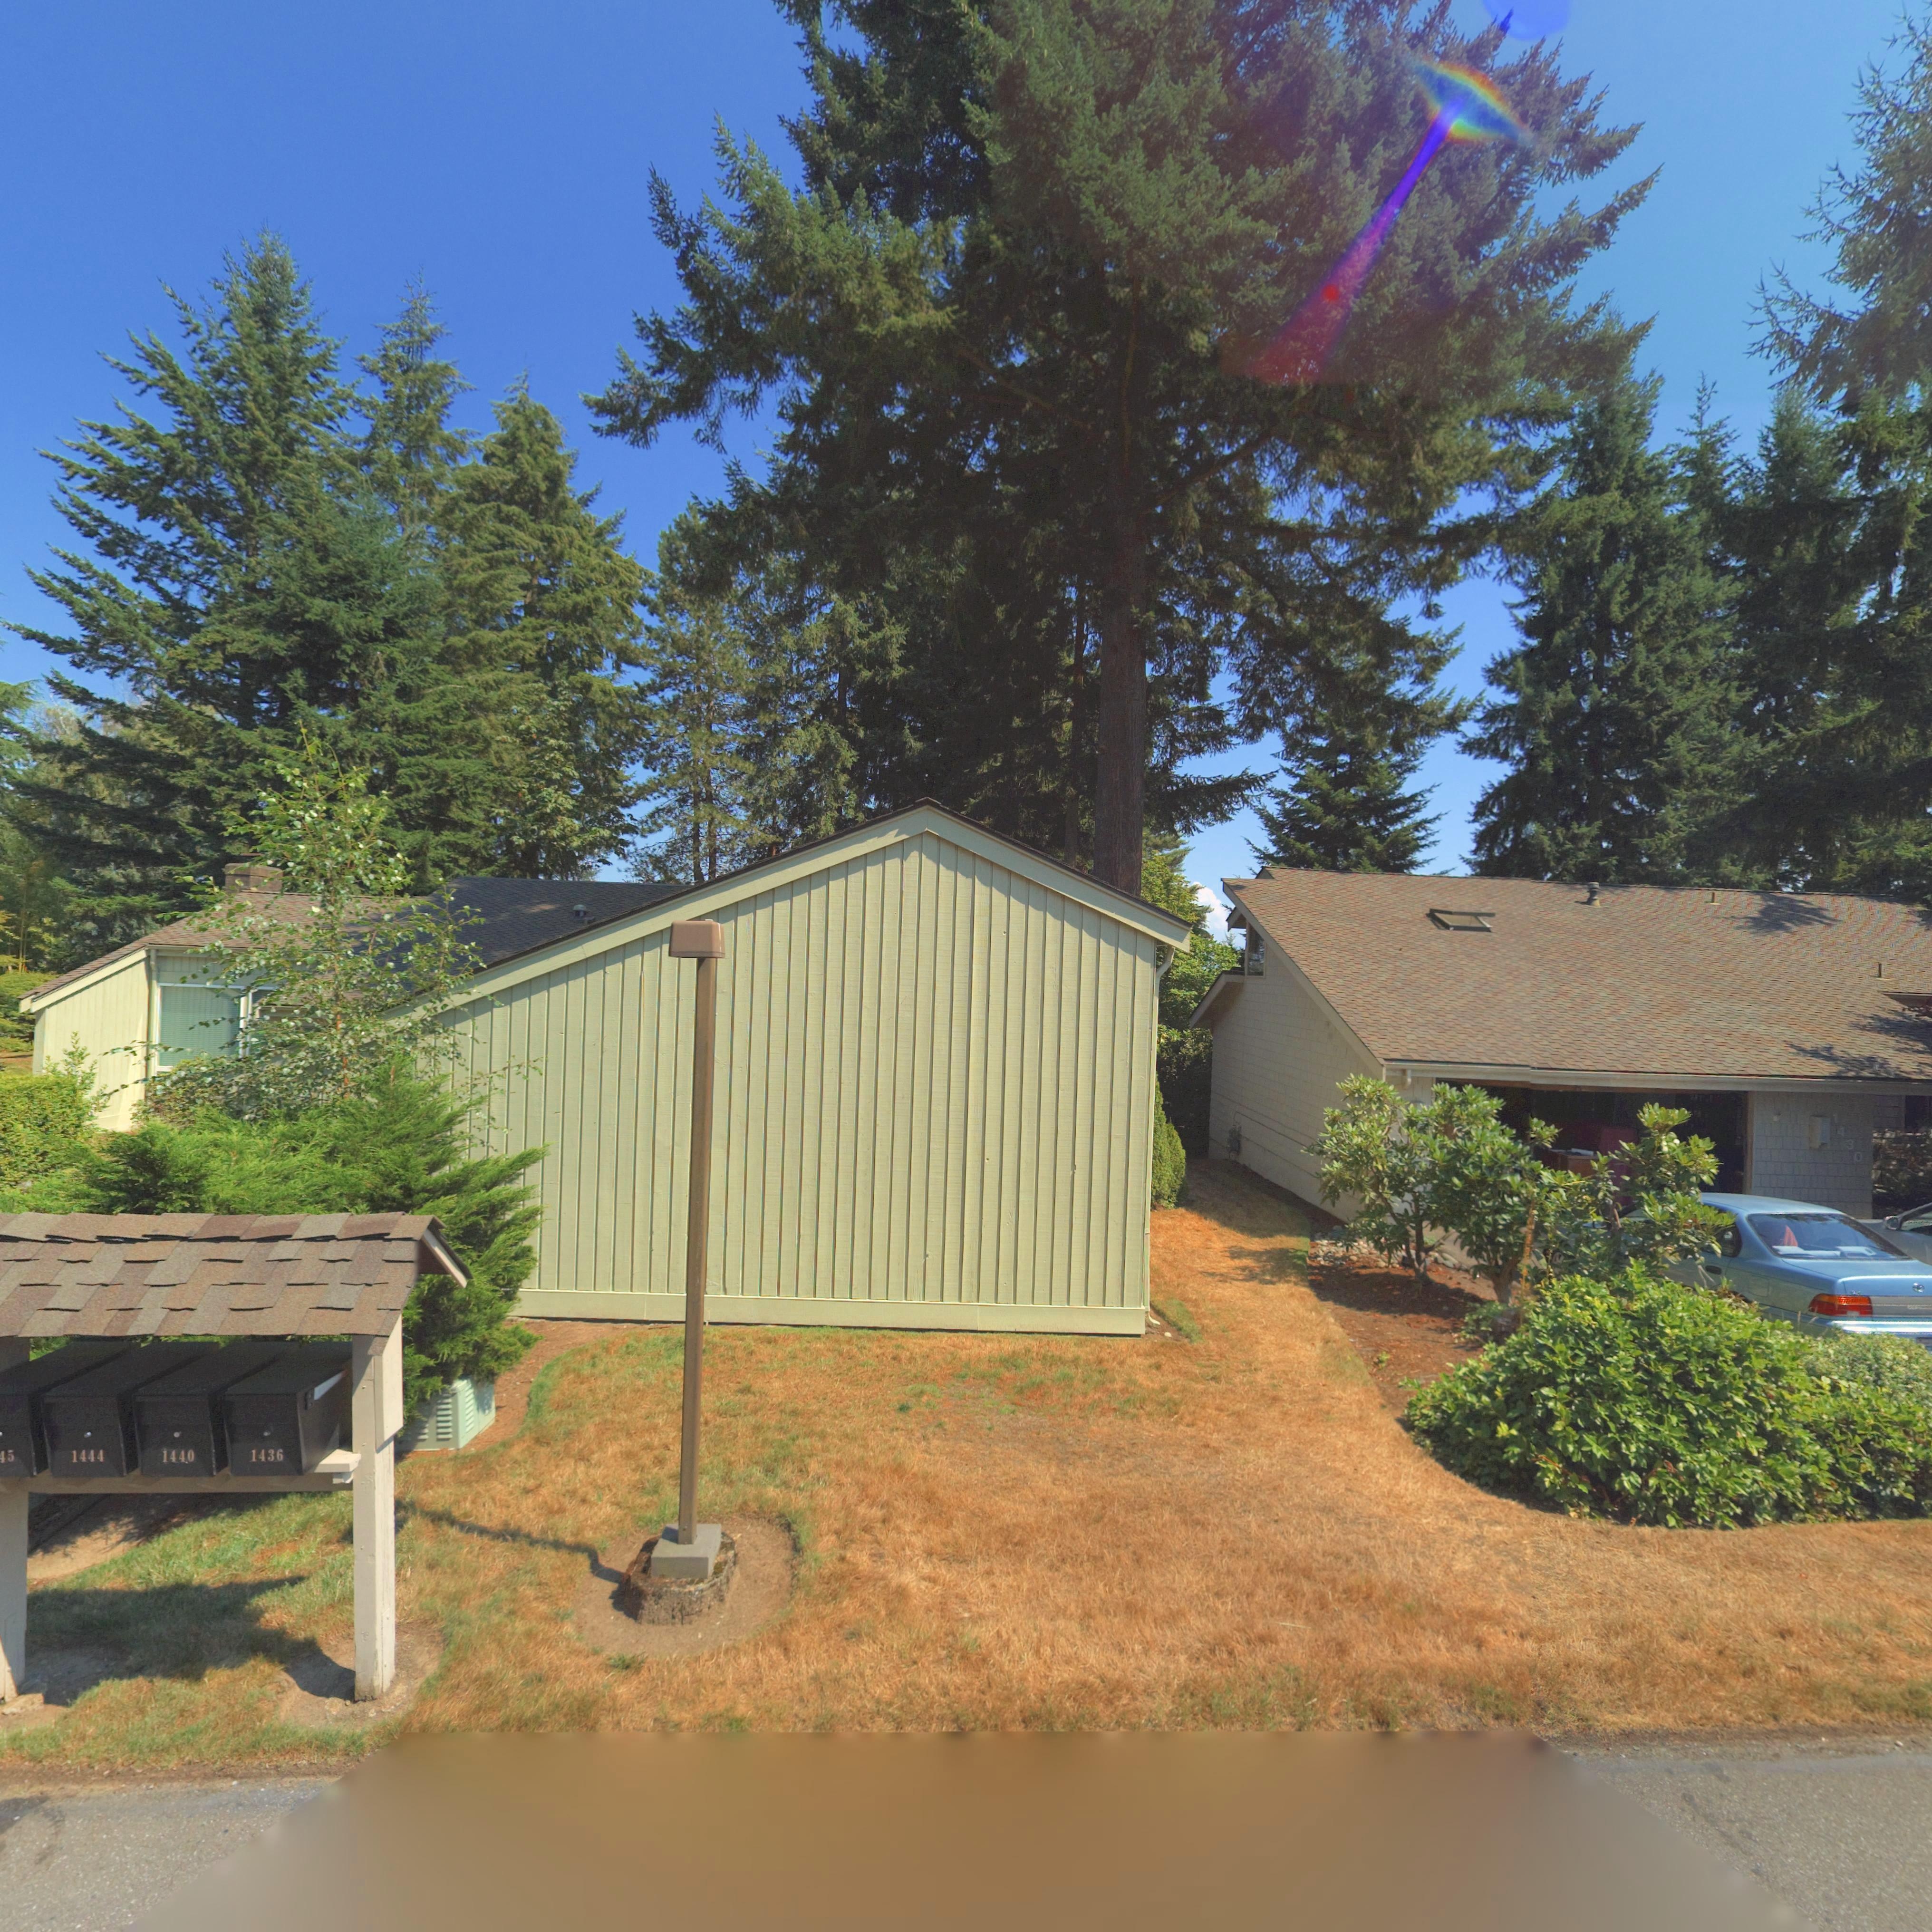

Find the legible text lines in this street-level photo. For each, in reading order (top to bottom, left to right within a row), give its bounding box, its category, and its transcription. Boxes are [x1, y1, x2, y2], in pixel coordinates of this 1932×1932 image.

[71, 1449, 105, 1463] StreetNumber: 1444
[162, 1449, 194, 1463] None: 1440
[251, 1449, 282, 1461] StreetNumber: 1436